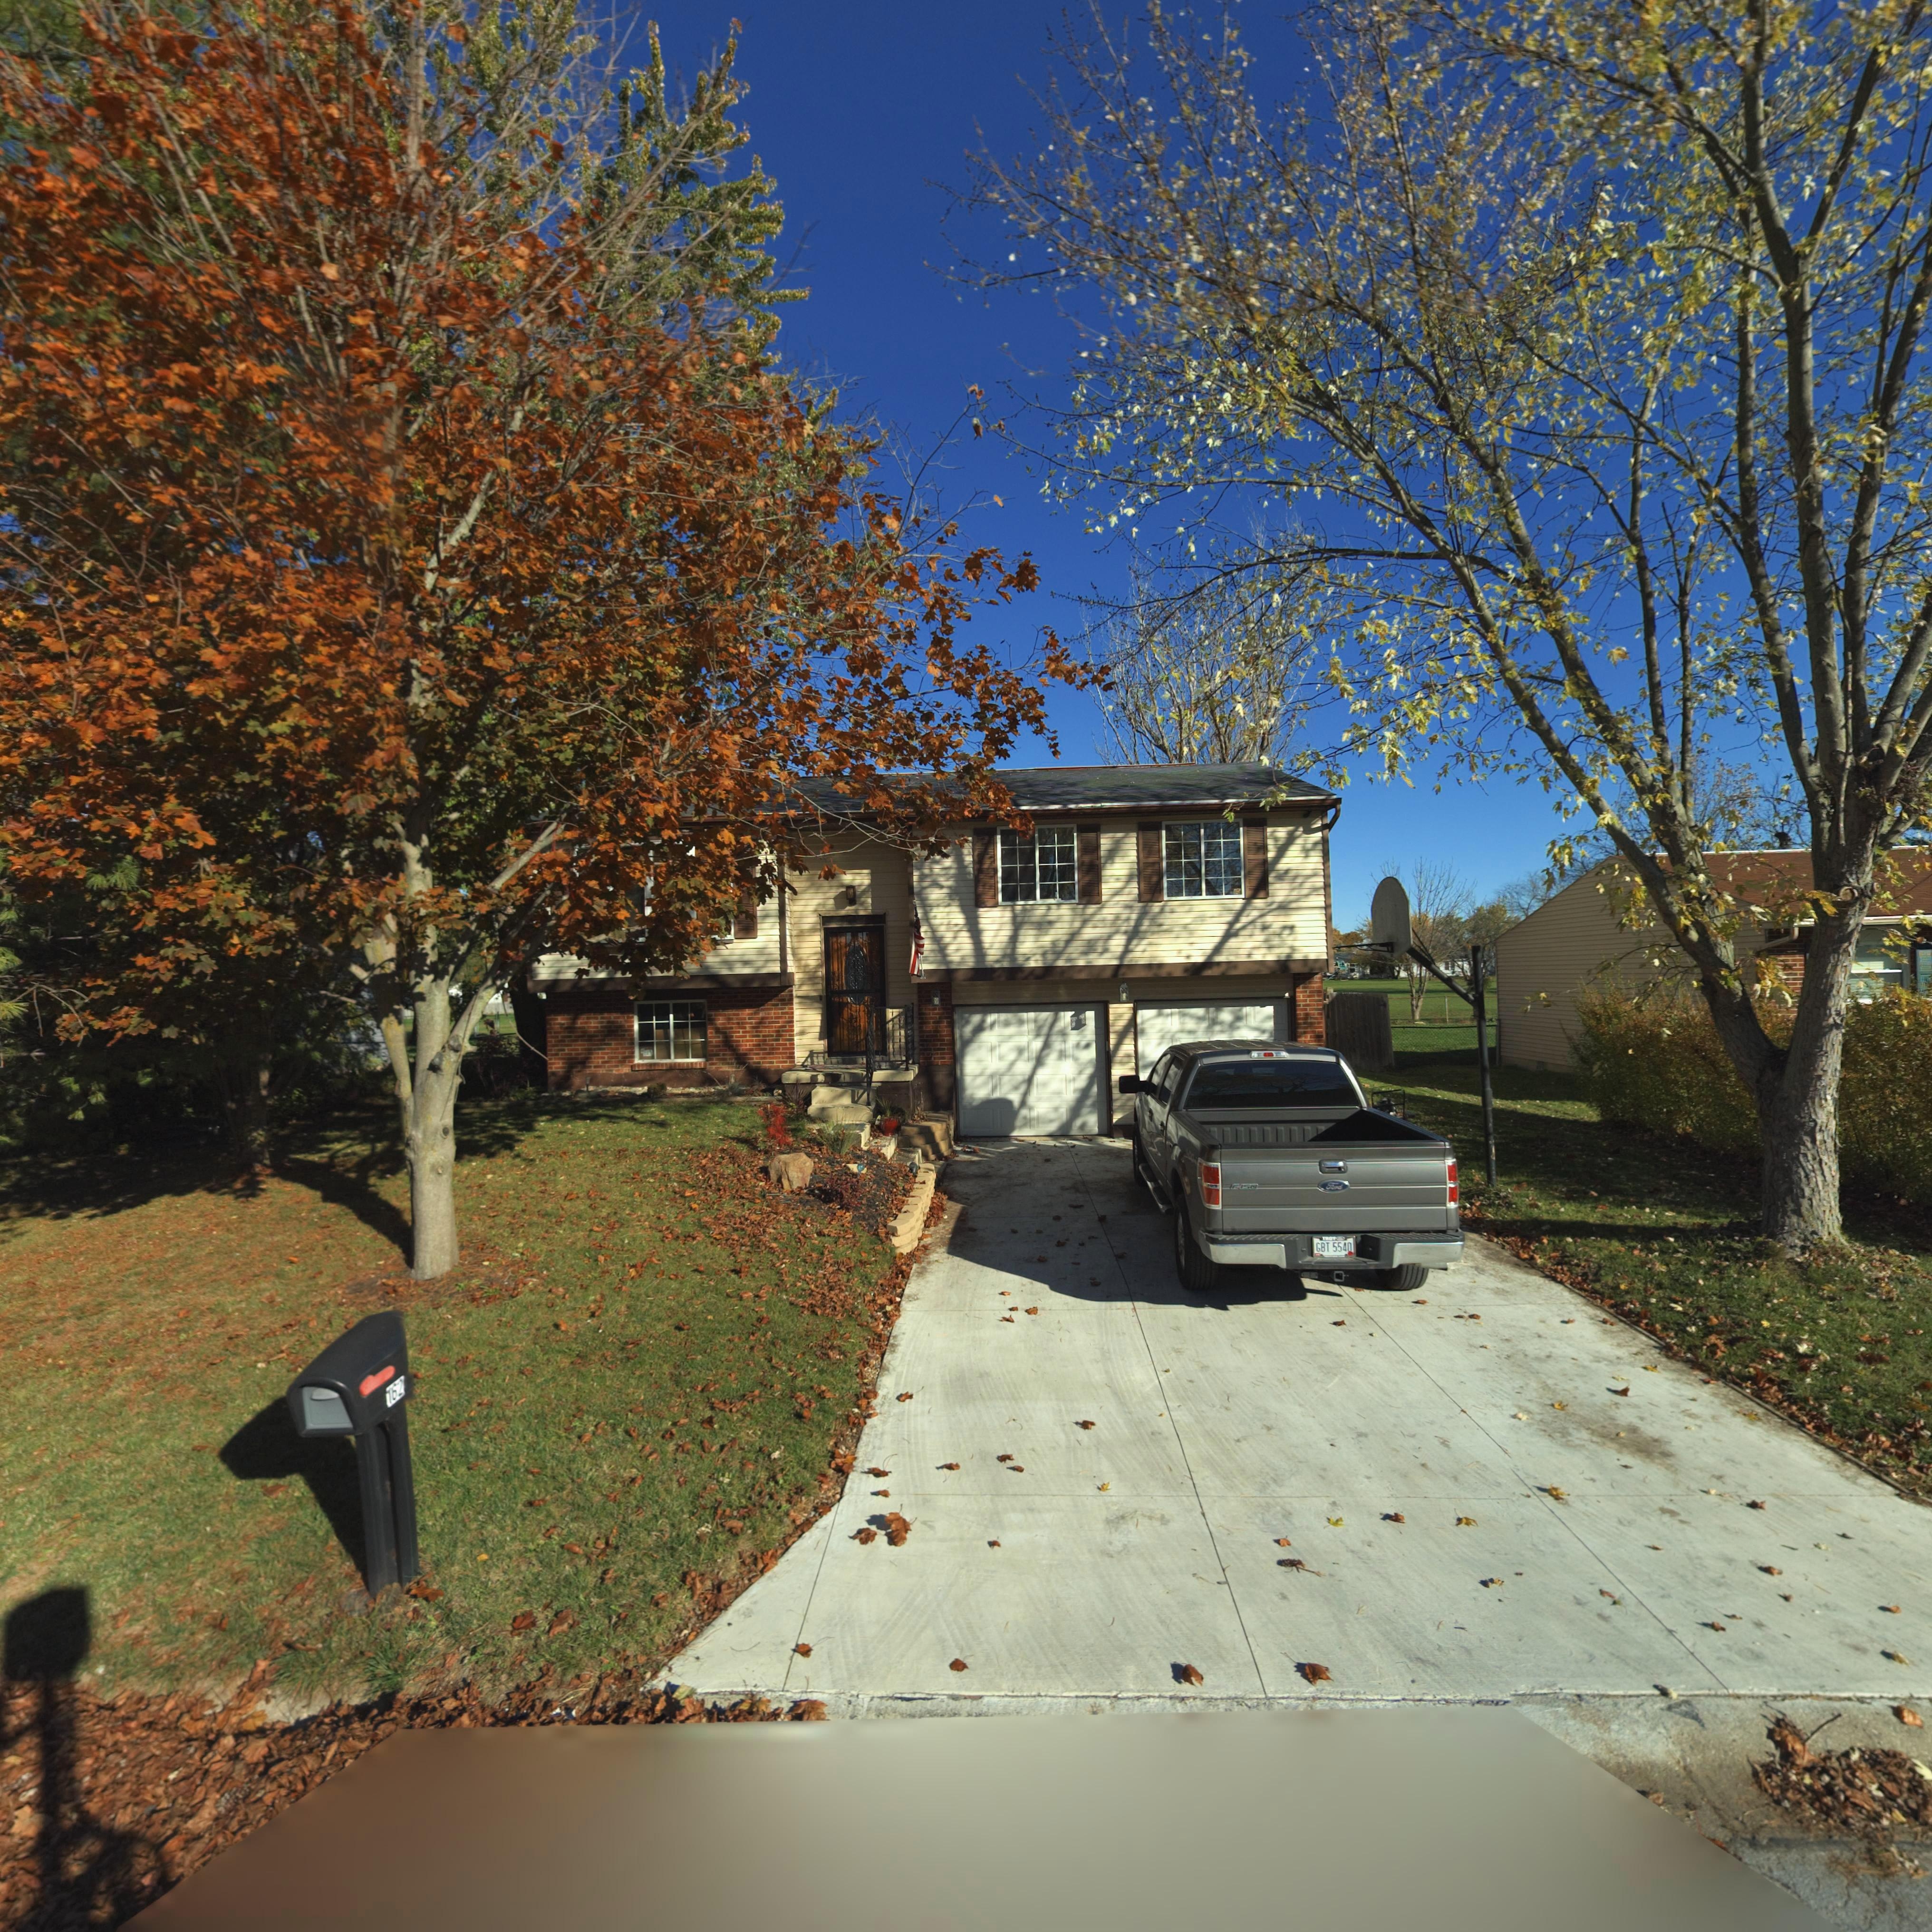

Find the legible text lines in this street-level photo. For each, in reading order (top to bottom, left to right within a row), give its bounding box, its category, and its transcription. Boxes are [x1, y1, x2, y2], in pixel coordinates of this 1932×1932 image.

[385, 1376, 406, 1408] StreetNumber: 162